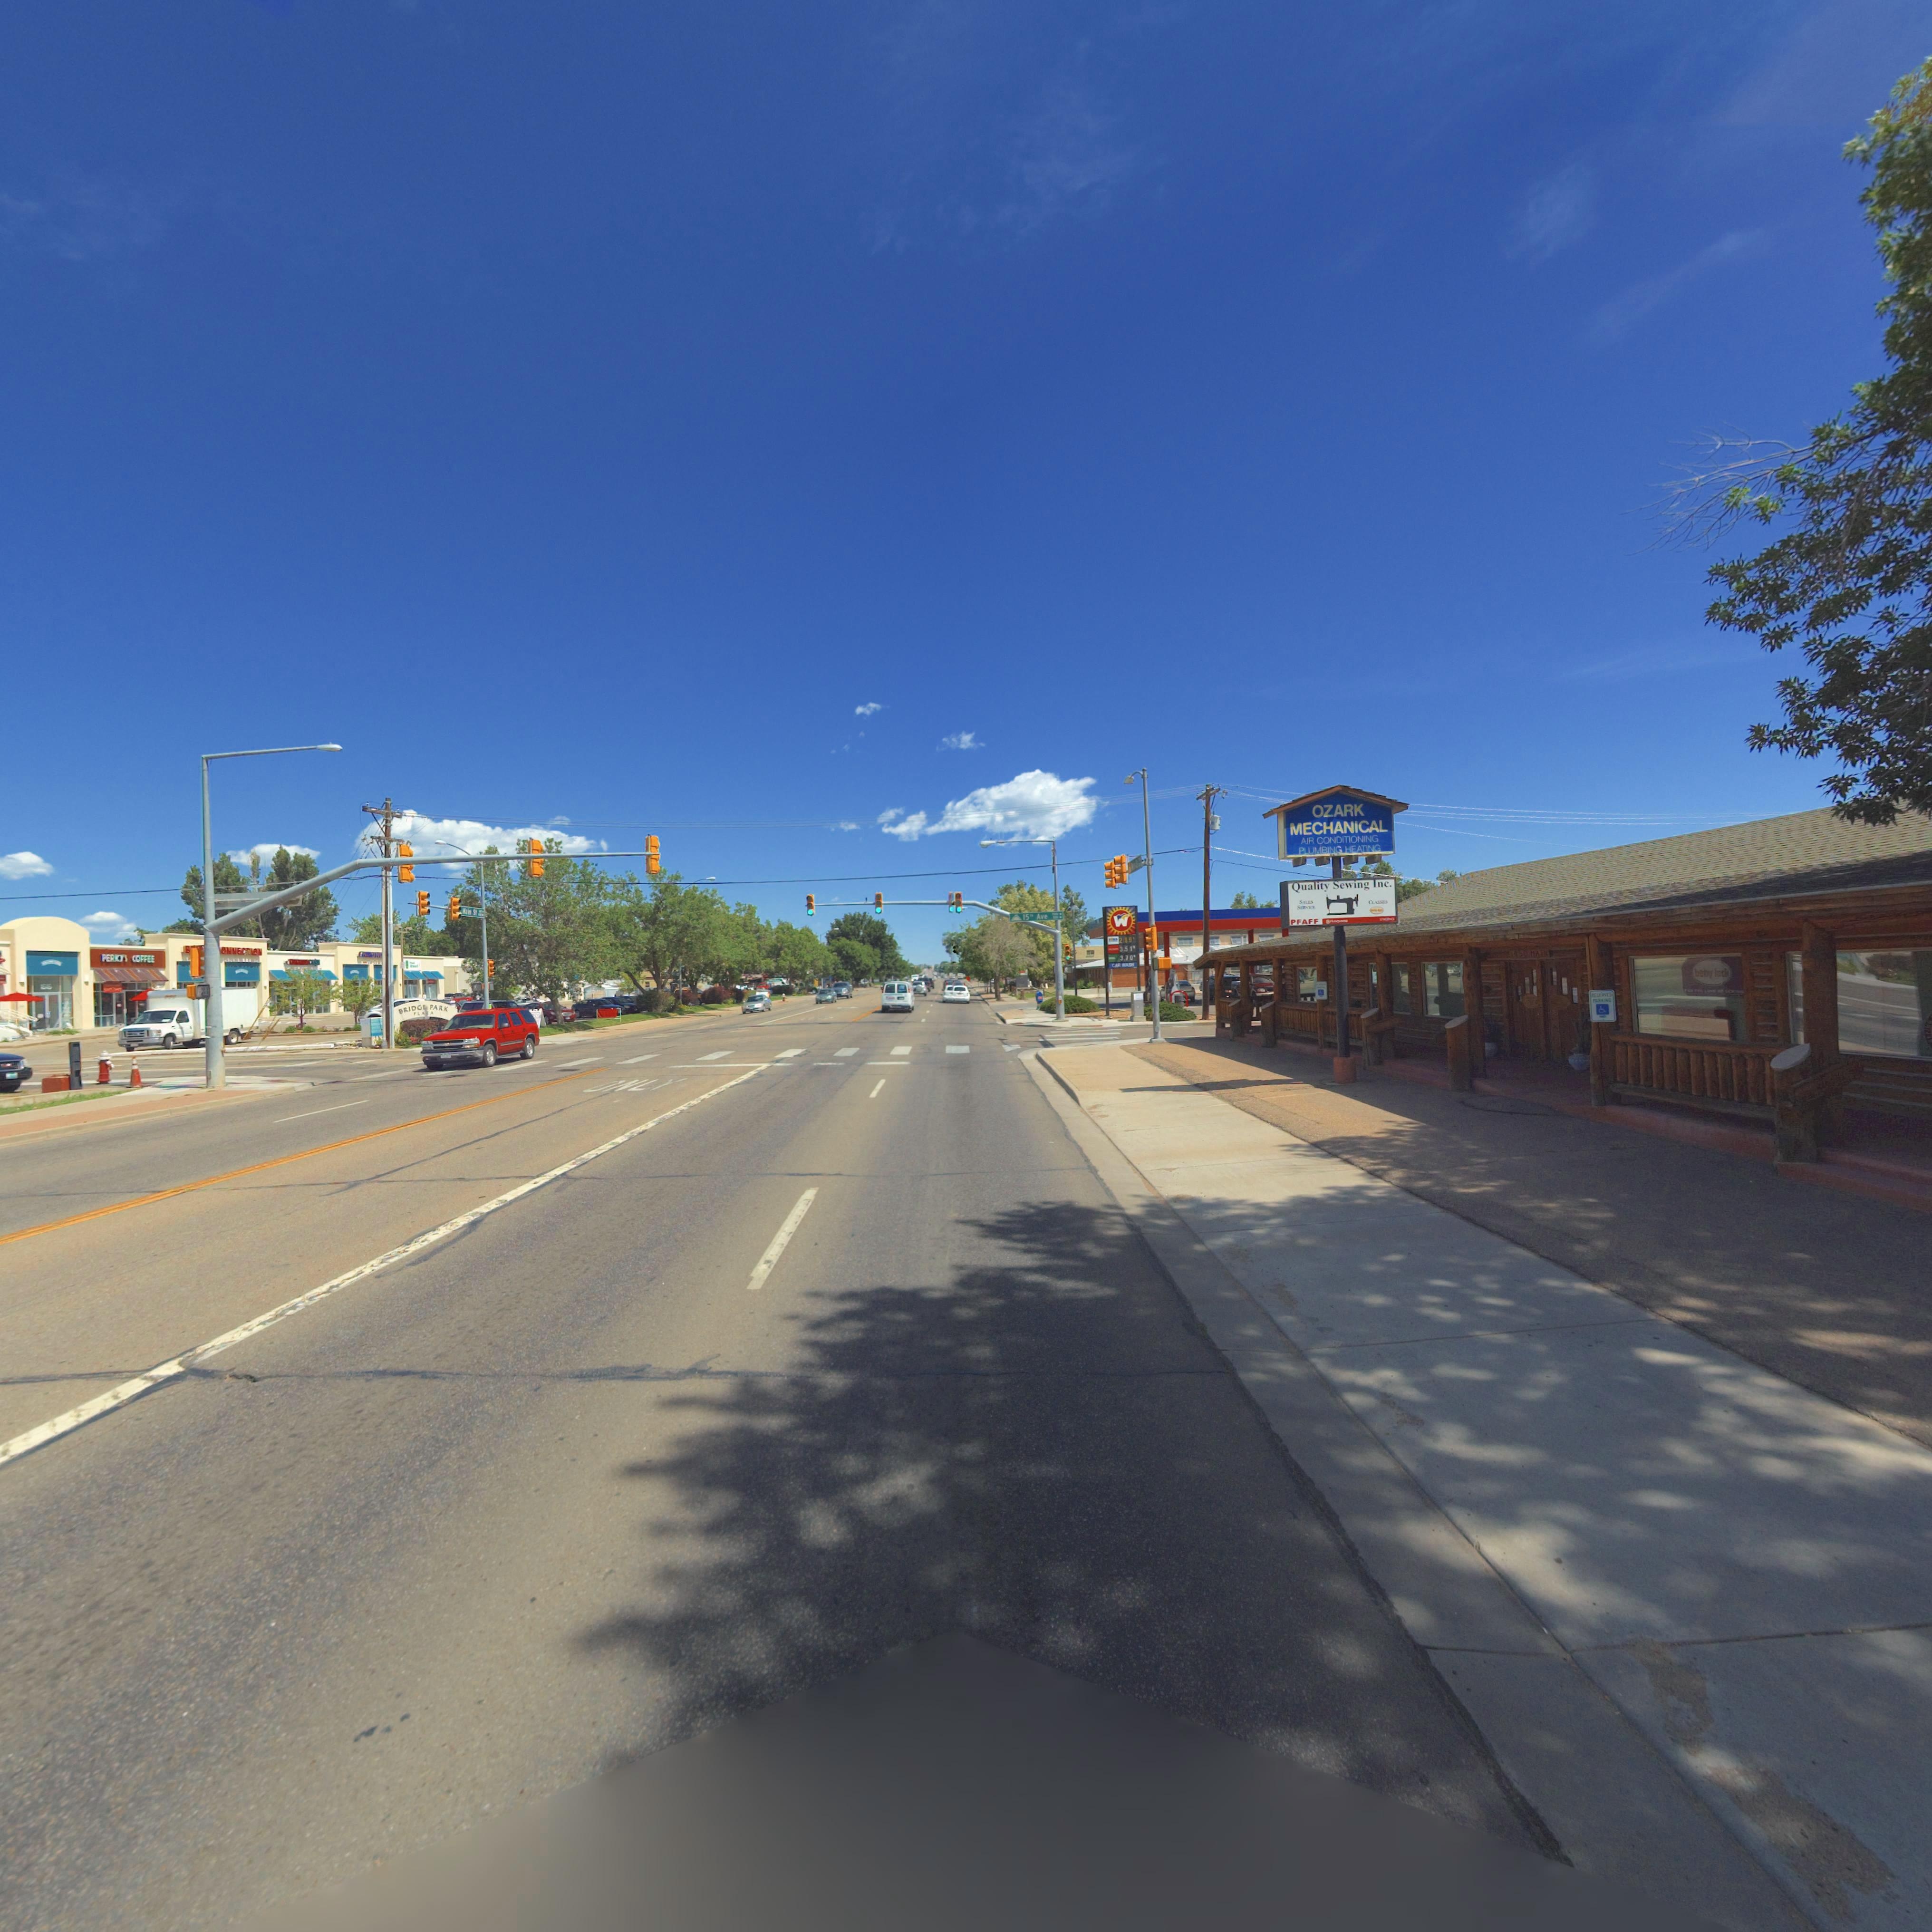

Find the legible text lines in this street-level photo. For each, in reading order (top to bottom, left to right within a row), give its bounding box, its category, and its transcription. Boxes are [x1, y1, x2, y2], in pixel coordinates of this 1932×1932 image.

[1311, 803, 1365, 819] BusinessName: OZARK
[1289, 819, 1389, 836] BusinessName: MECHANICAL
[1291, 879, 1390, 893] BusinessName: Quality Sweing Inc
[462, 907, 477, 916] StreetName: *ai* S*
[1022, 913, 1048, 920] StreetName: 15** Ave
[101, 953, 155, 963] BusinessName: PERKYS COFFEE
[184, 945, 262, 956] BusinessName: B ONNECTION
[1509, 949, 1529, 958] StreetNumber: 1*50
[1529, 948, 1549, 957] StreetName: MA**